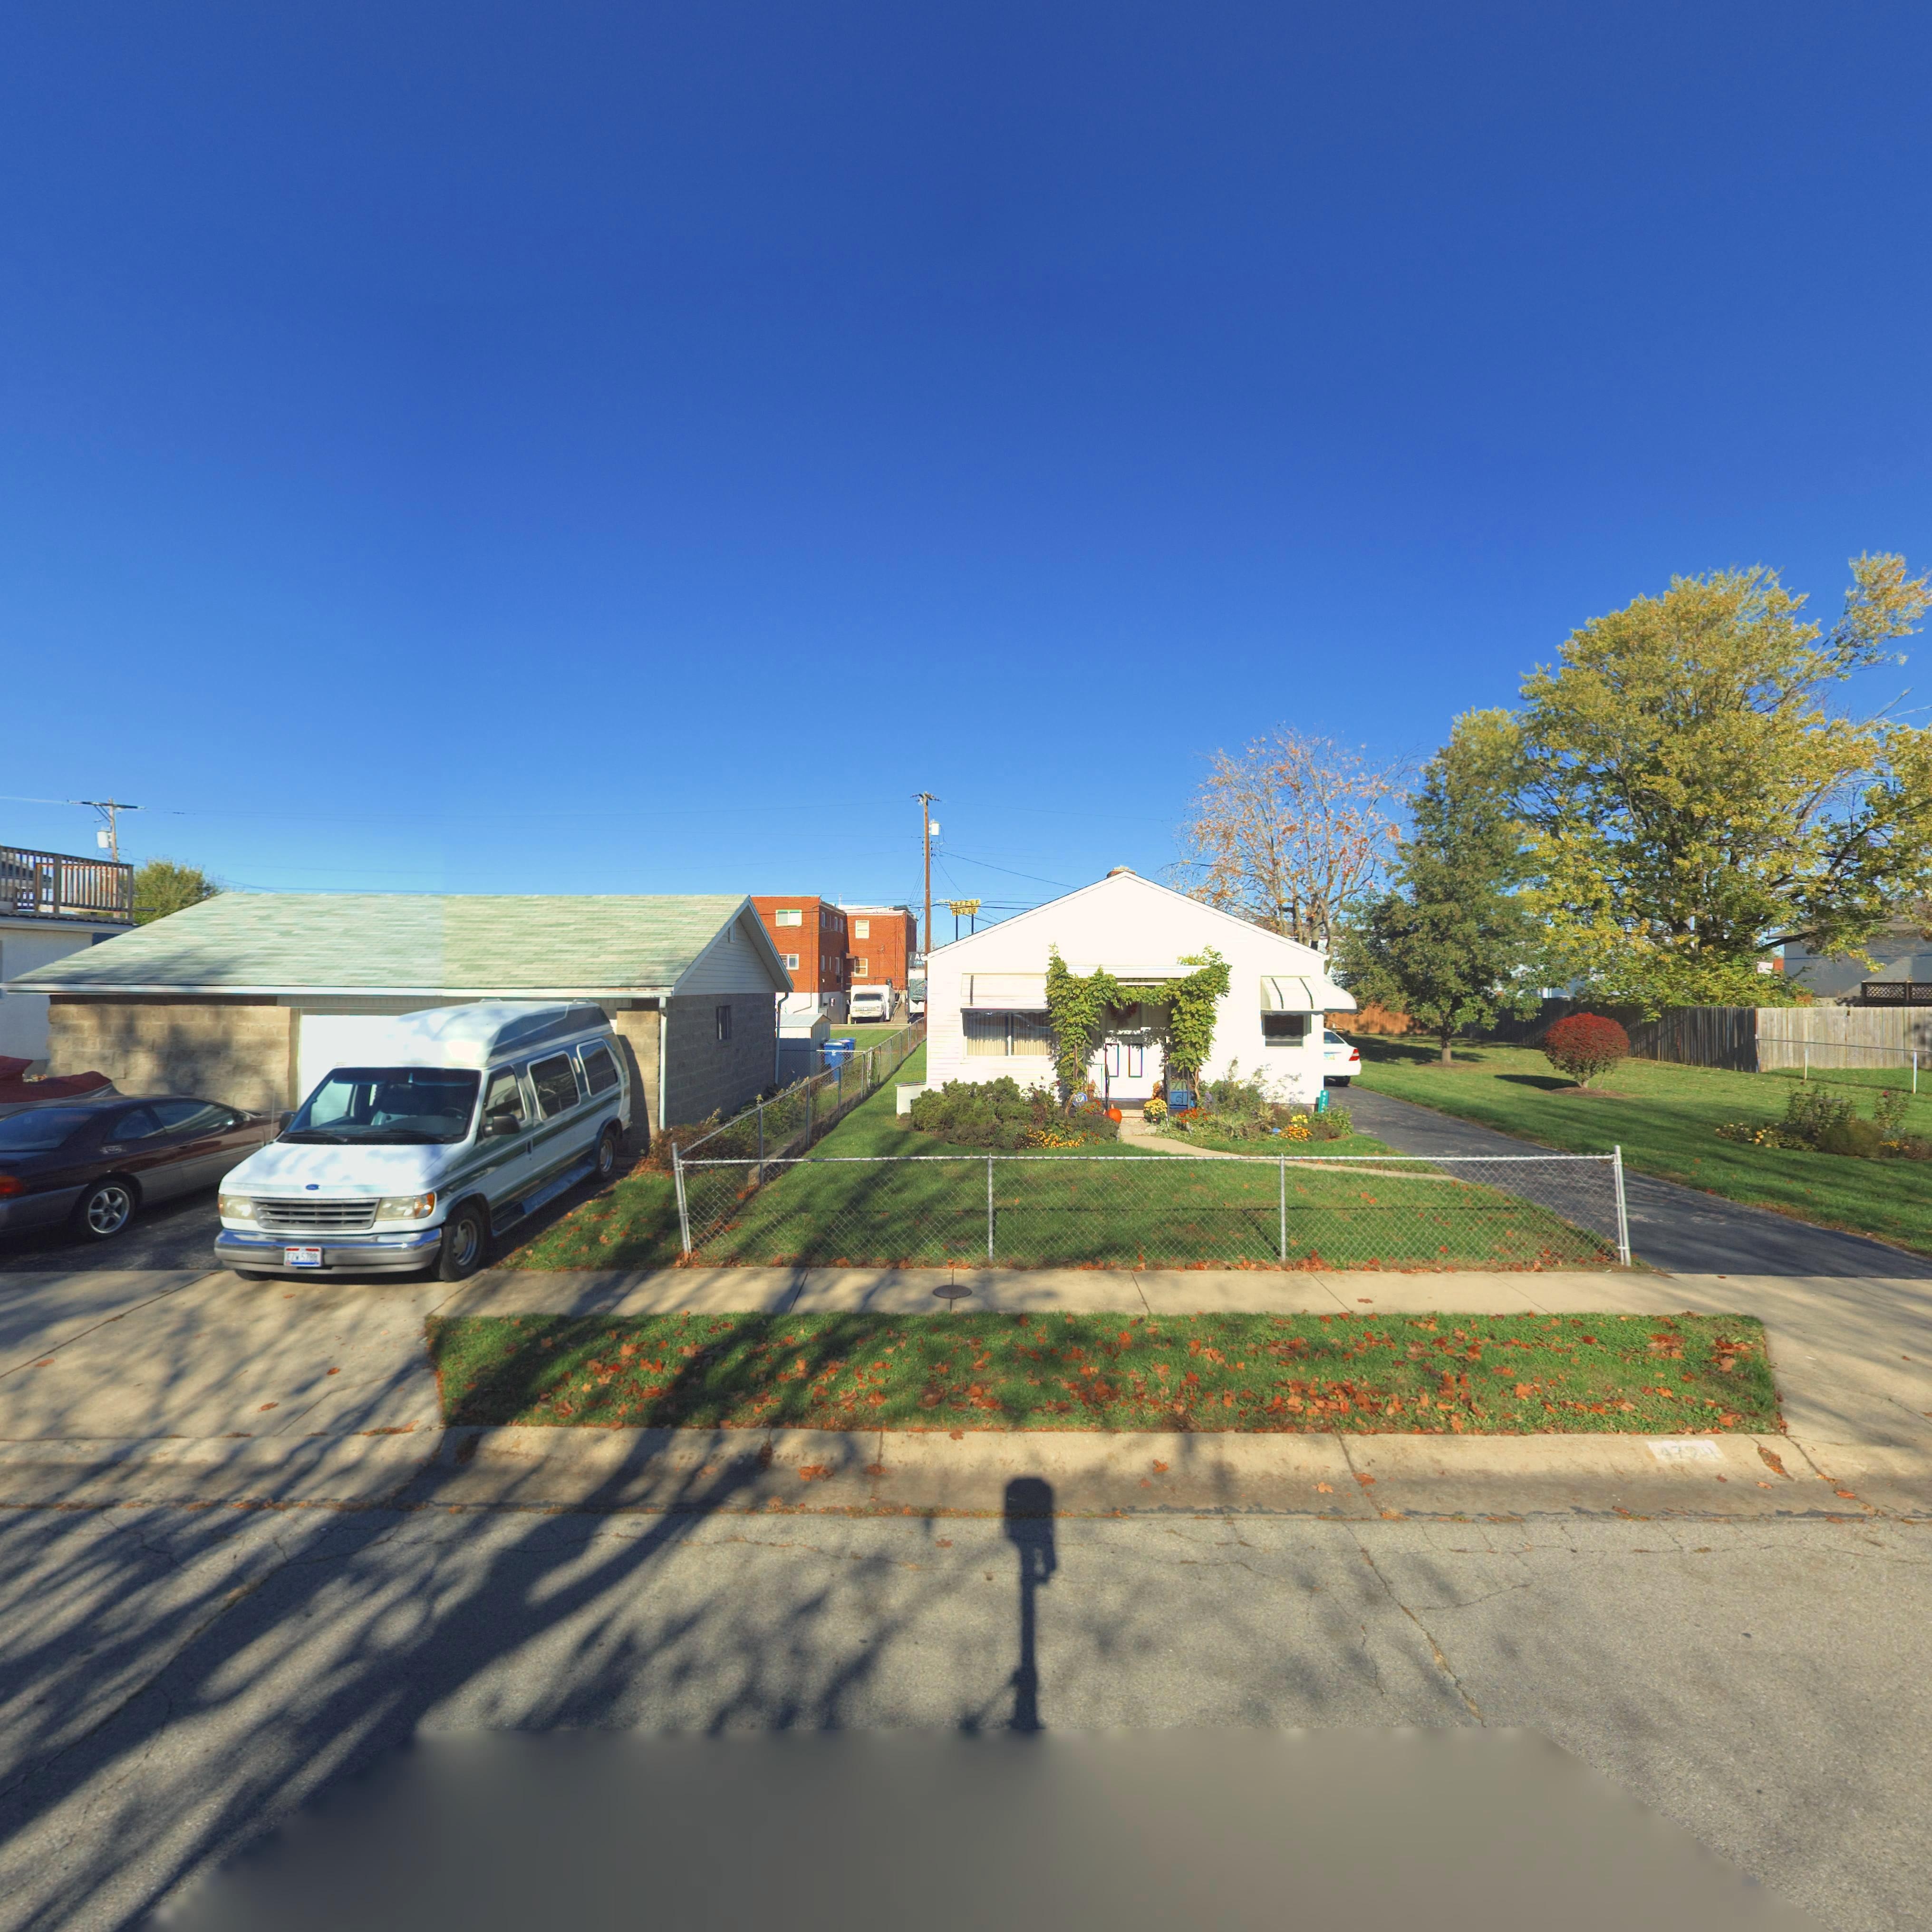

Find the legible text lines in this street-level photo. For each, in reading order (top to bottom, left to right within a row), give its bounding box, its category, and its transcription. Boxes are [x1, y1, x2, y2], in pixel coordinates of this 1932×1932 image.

[1124, 977, 1150, 985] StreetNumber: 4729
[1321, 1090, 1327, 1110] StreetNumber: 47*
[1658, 1444, 1721, 1463] StreetNumber: 4729